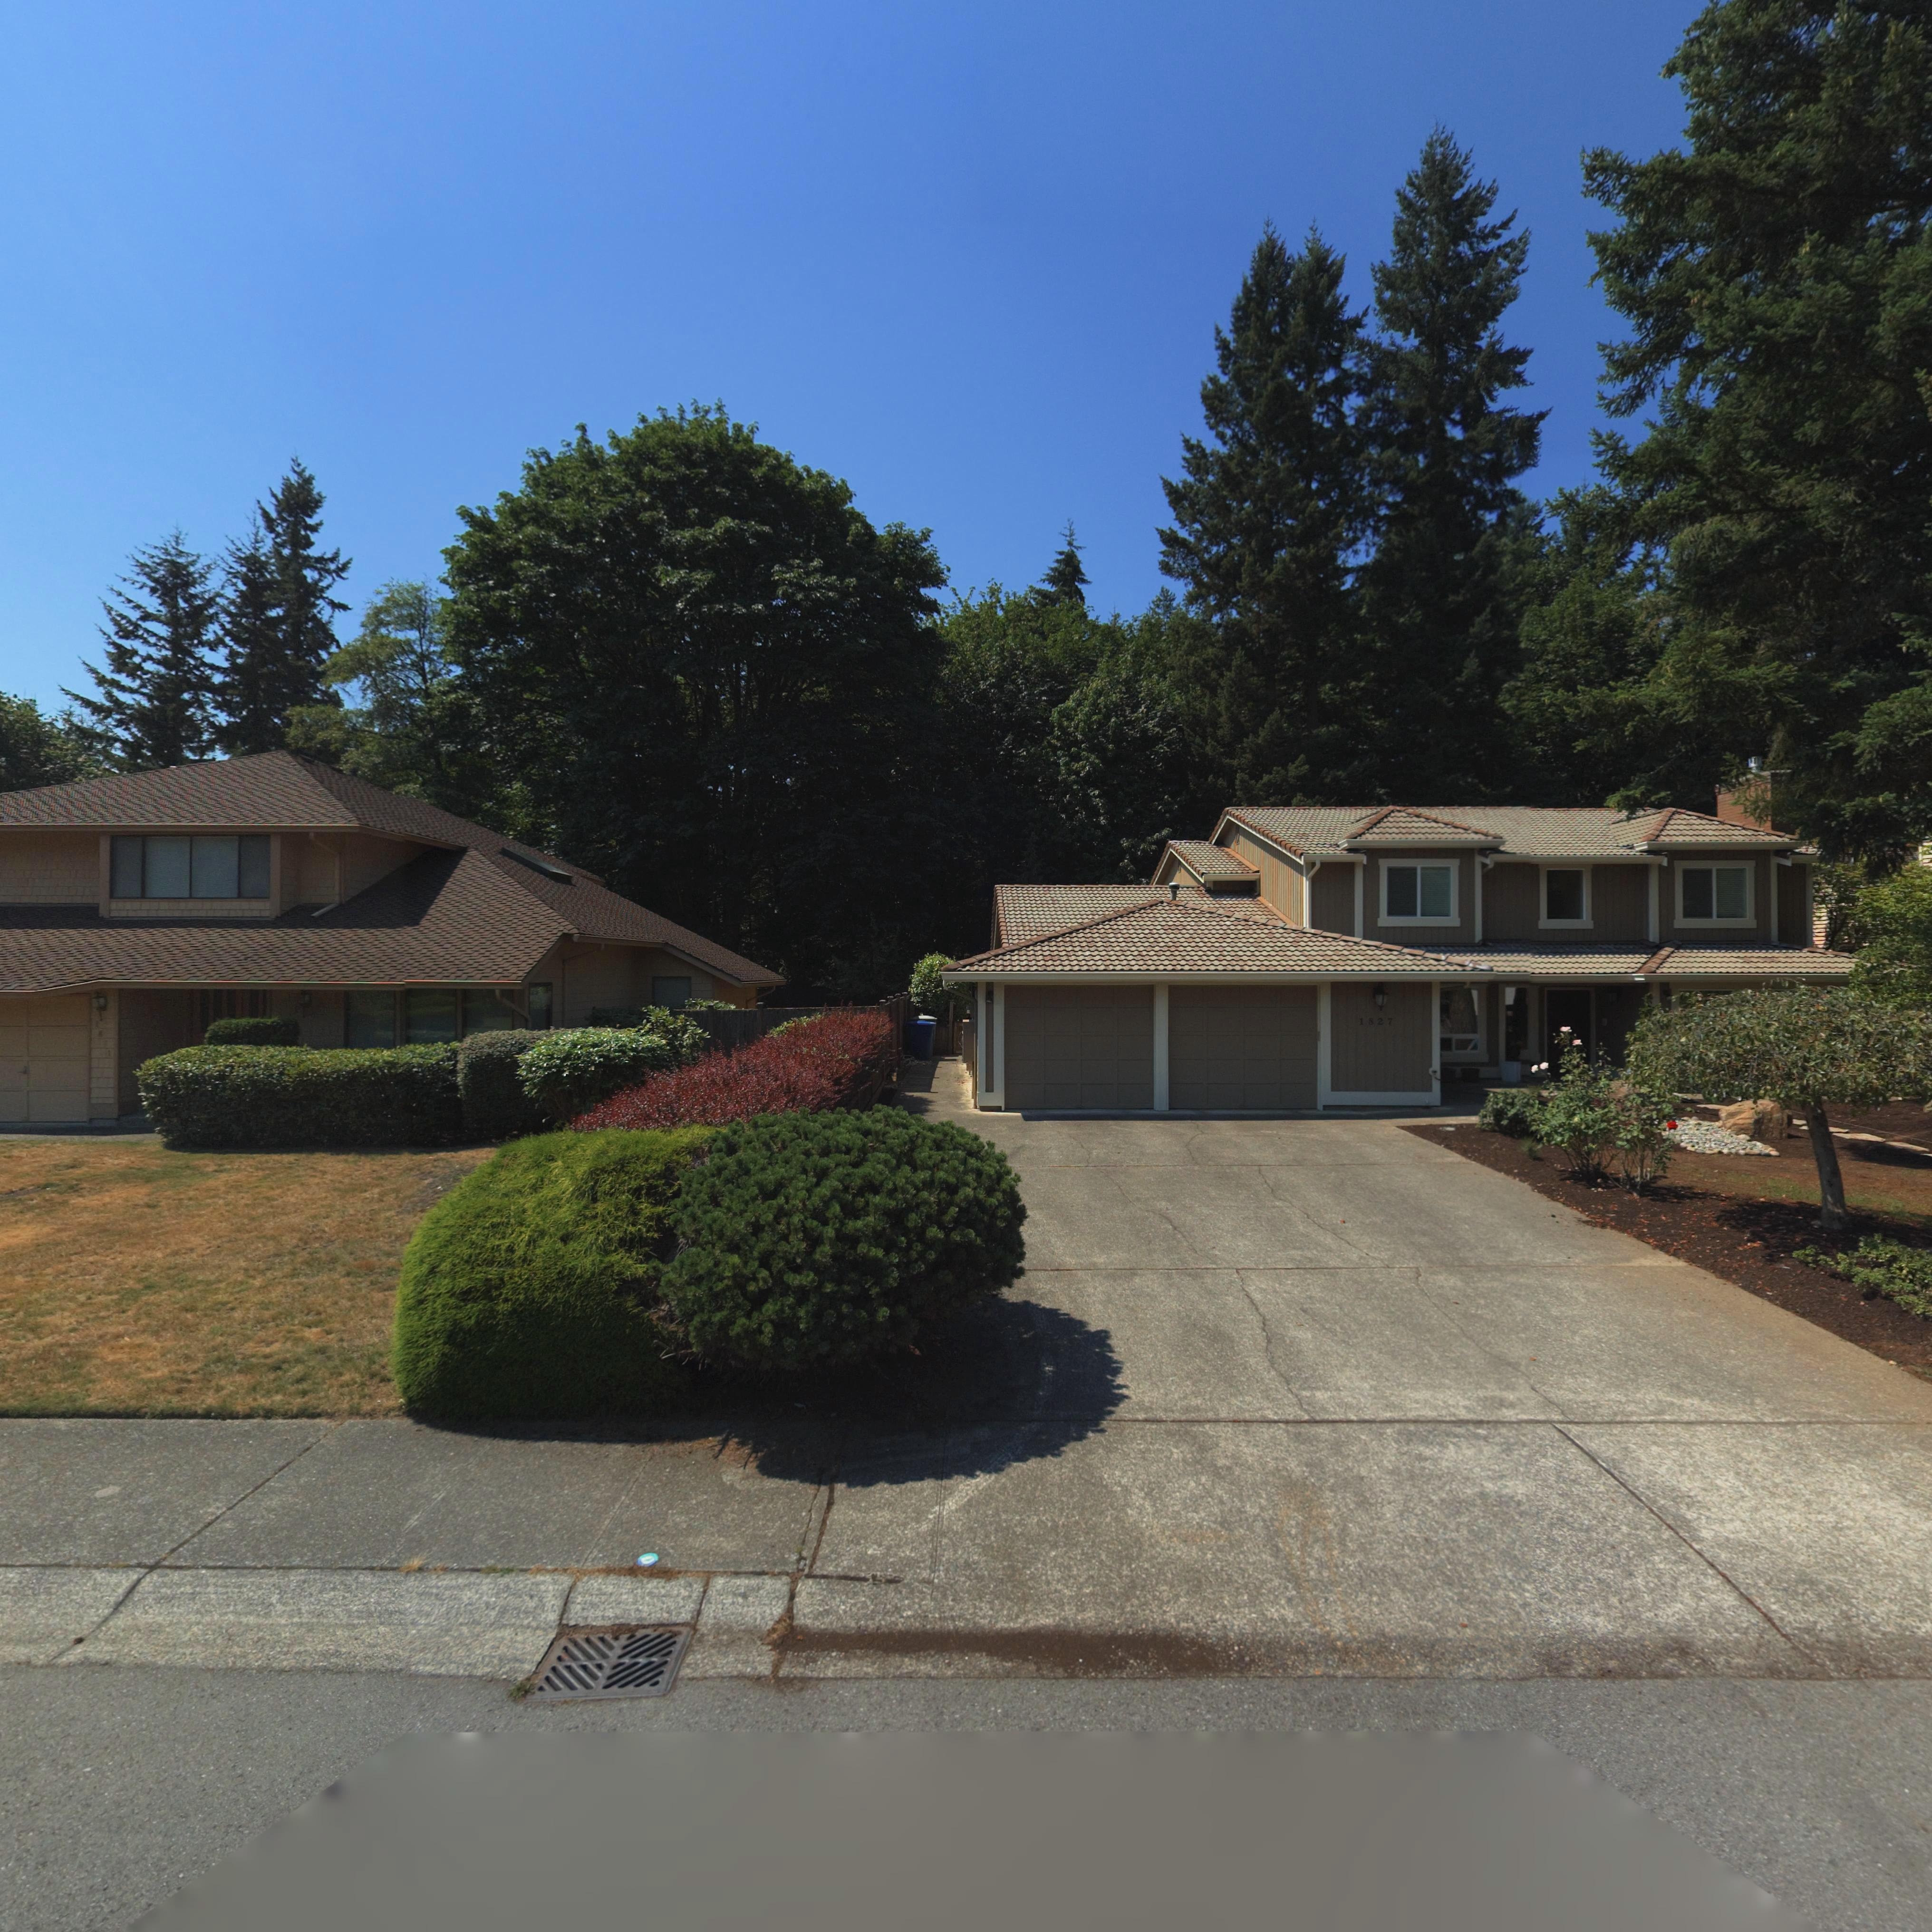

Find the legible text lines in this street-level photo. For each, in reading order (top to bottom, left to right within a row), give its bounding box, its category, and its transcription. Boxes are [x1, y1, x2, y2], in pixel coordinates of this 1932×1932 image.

[1359, 1017, 1393, 1025] StreetNumber: 1827